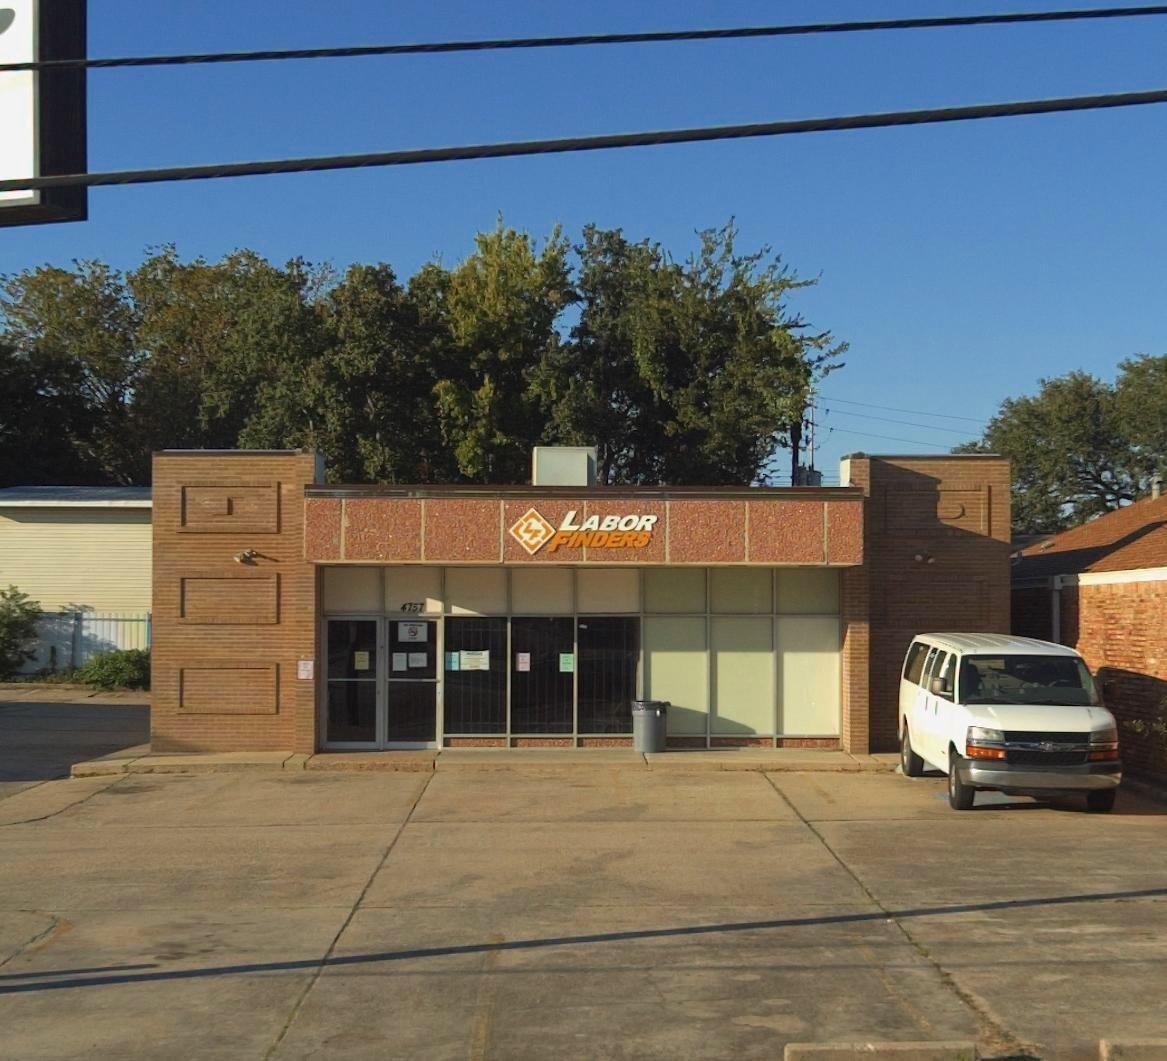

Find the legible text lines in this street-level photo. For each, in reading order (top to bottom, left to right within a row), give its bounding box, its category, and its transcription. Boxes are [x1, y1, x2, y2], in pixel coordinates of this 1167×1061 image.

[520, 521, 543, 541] None: LF
[556, 510, 662, 531] BusinessName: Labor Finders
[544, 530, 656, 554] BusinessName: FINDERS
[400, 602, 426, 612] StreetNumber: 4757